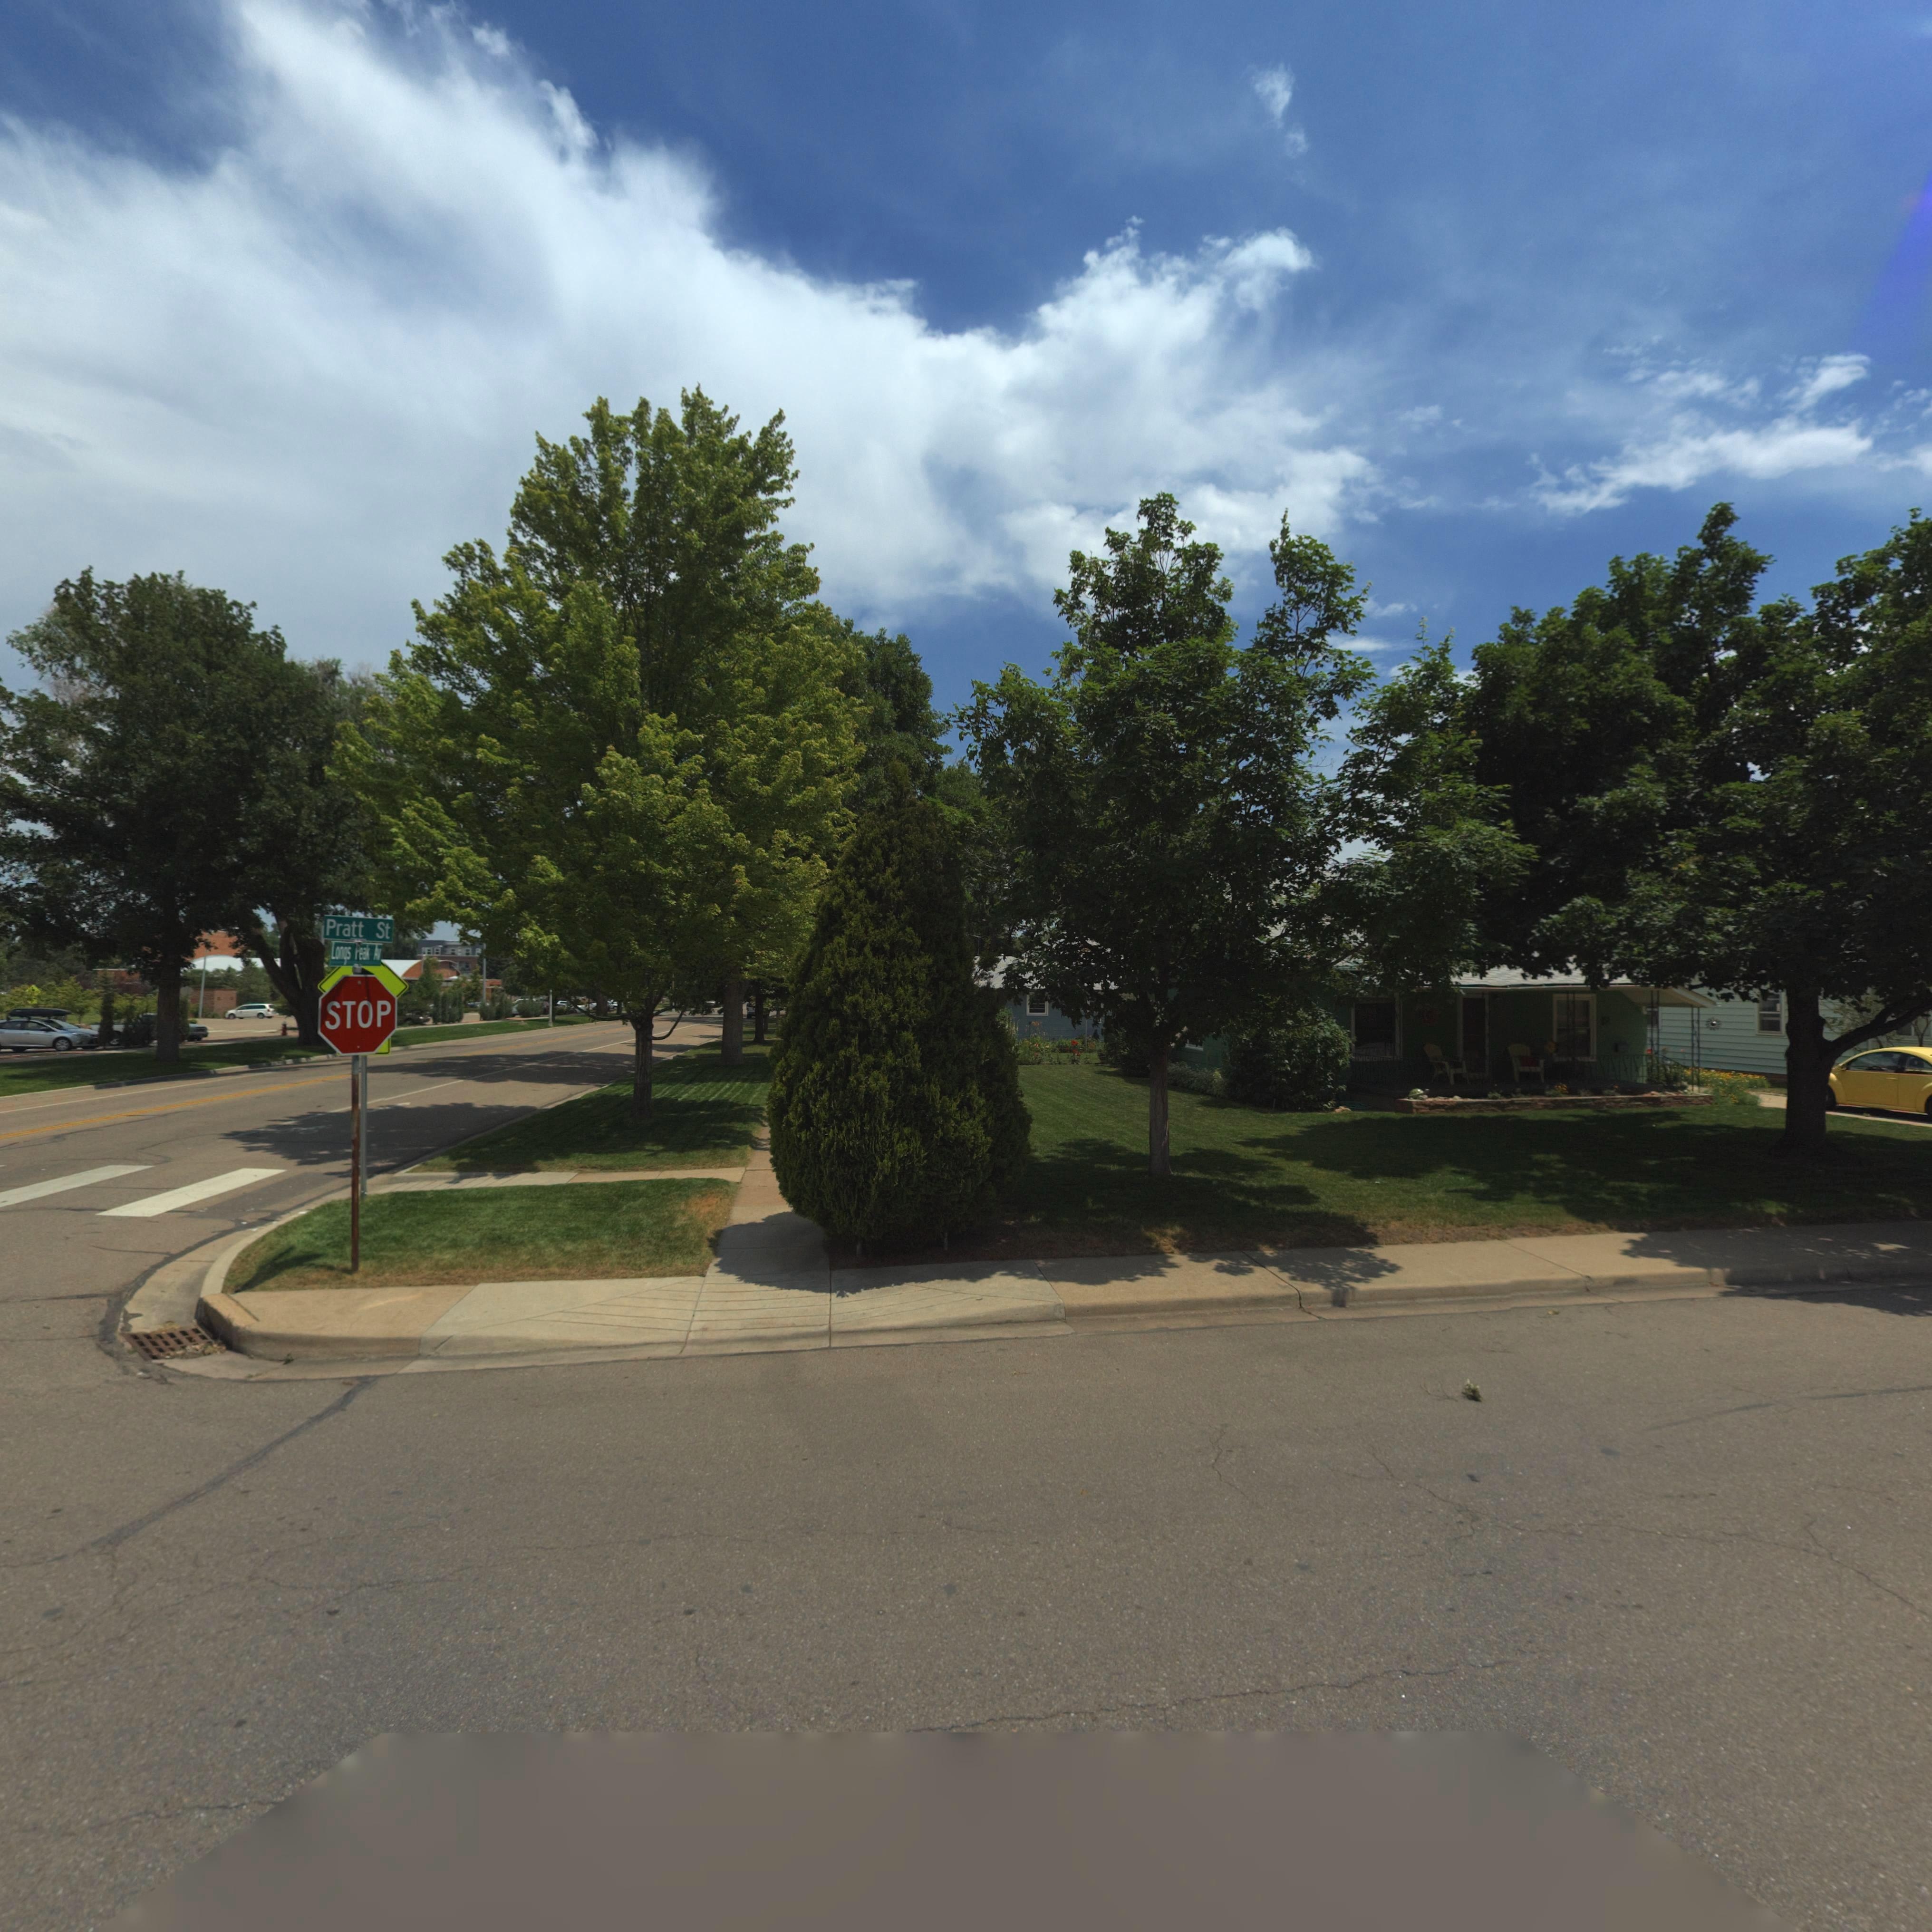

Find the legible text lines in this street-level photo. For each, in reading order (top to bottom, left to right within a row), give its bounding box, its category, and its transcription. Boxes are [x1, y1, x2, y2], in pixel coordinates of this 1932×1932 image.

[327, 918, 390, 938] StreetName: Pratt St
[330, 940, 382, 966] StreetName: Longs Peak Av